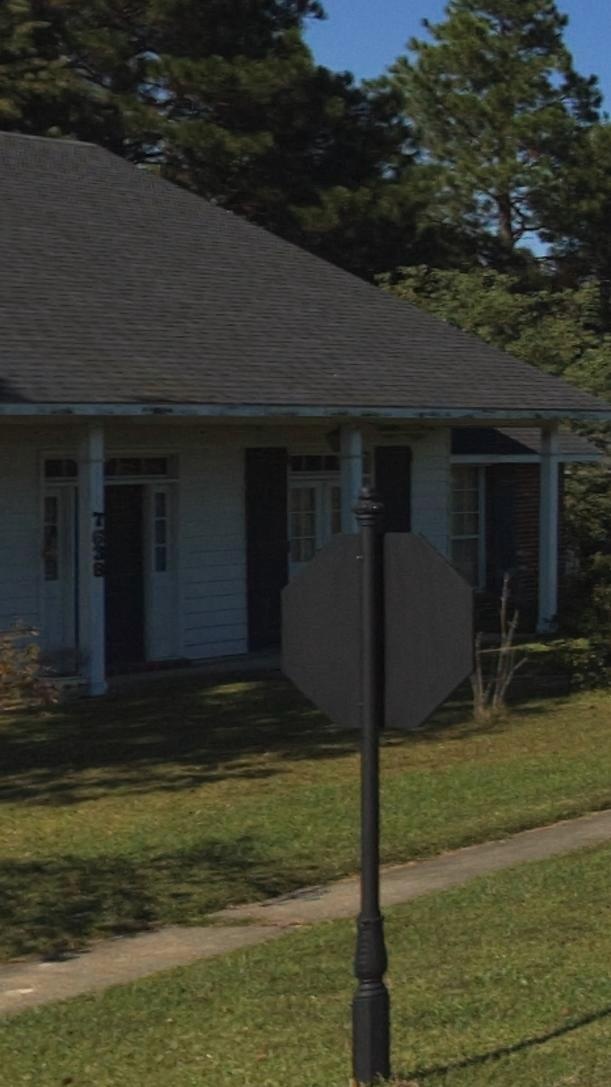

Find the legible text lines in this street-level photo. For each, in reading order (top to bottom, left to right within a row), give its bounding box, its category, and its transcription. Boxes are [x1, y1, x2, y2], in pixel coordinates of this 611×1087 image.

[91, 511, 105, 578] StreetNumber: 7638